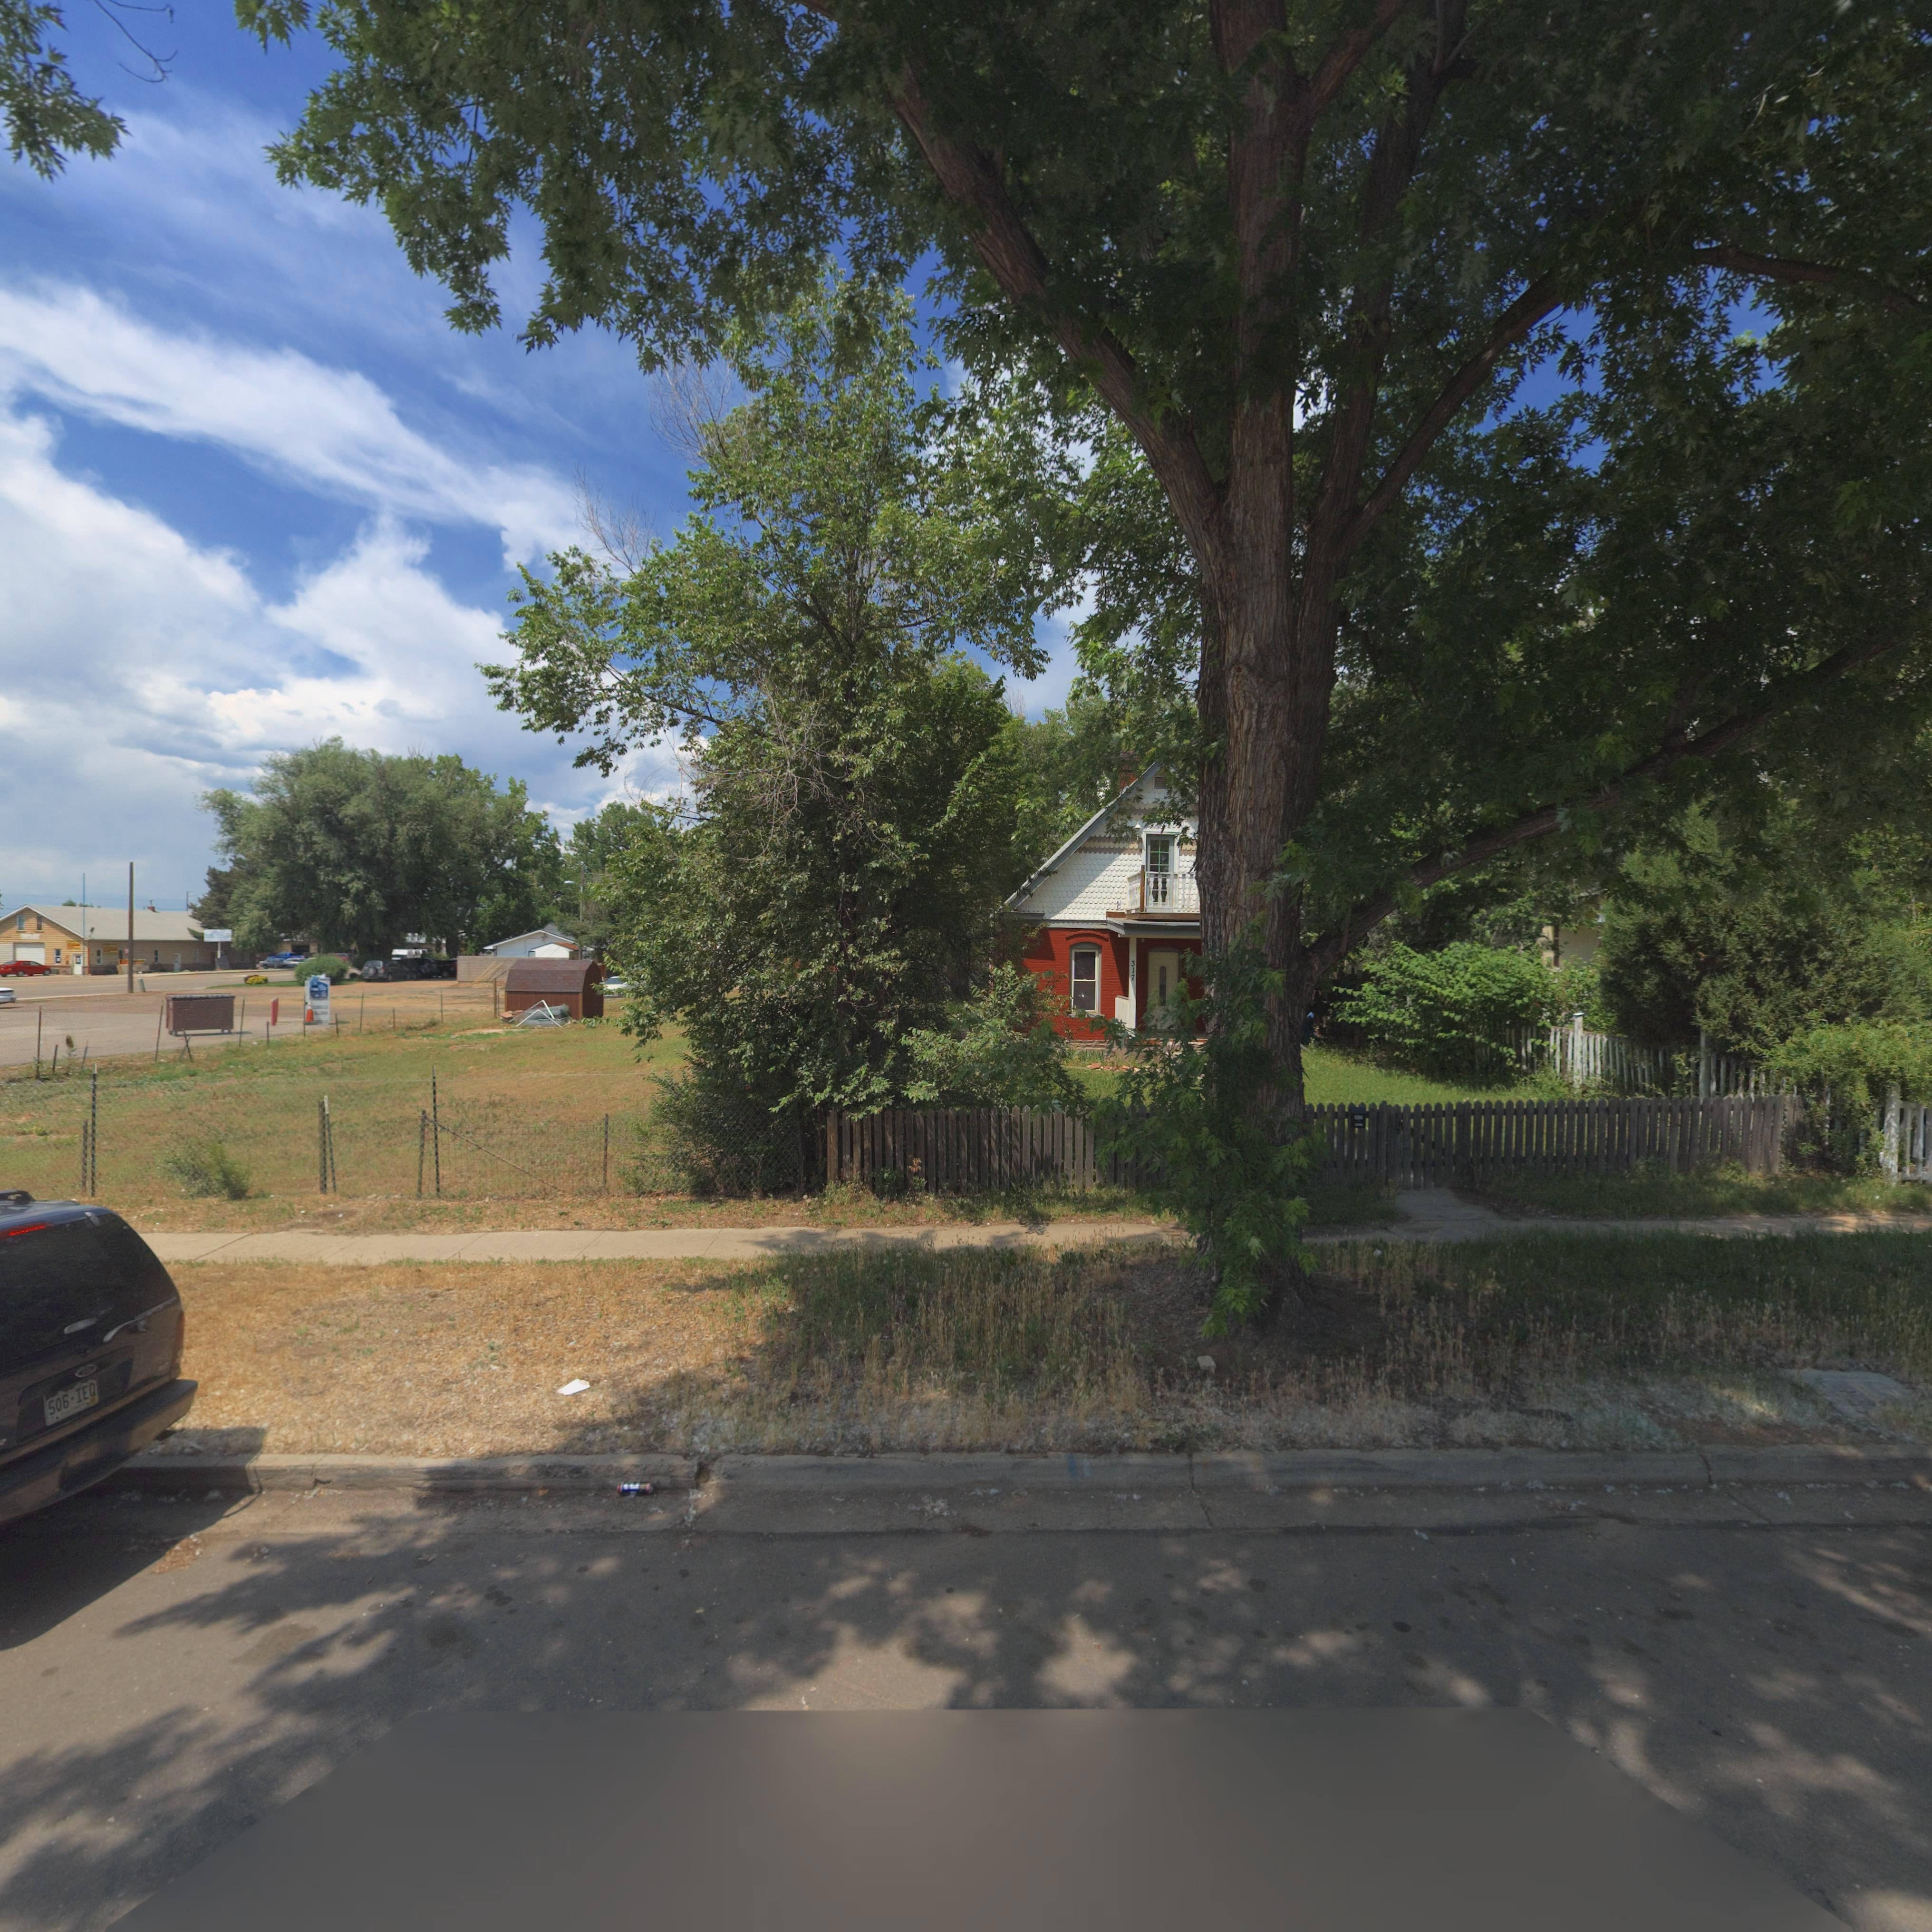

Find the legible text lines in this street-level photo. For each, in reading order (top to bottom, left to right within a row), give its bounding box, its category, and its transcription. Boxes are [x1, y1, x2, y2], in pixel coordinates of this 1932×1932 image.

[1131, 960, 1135, 980] StreetNumber: 317